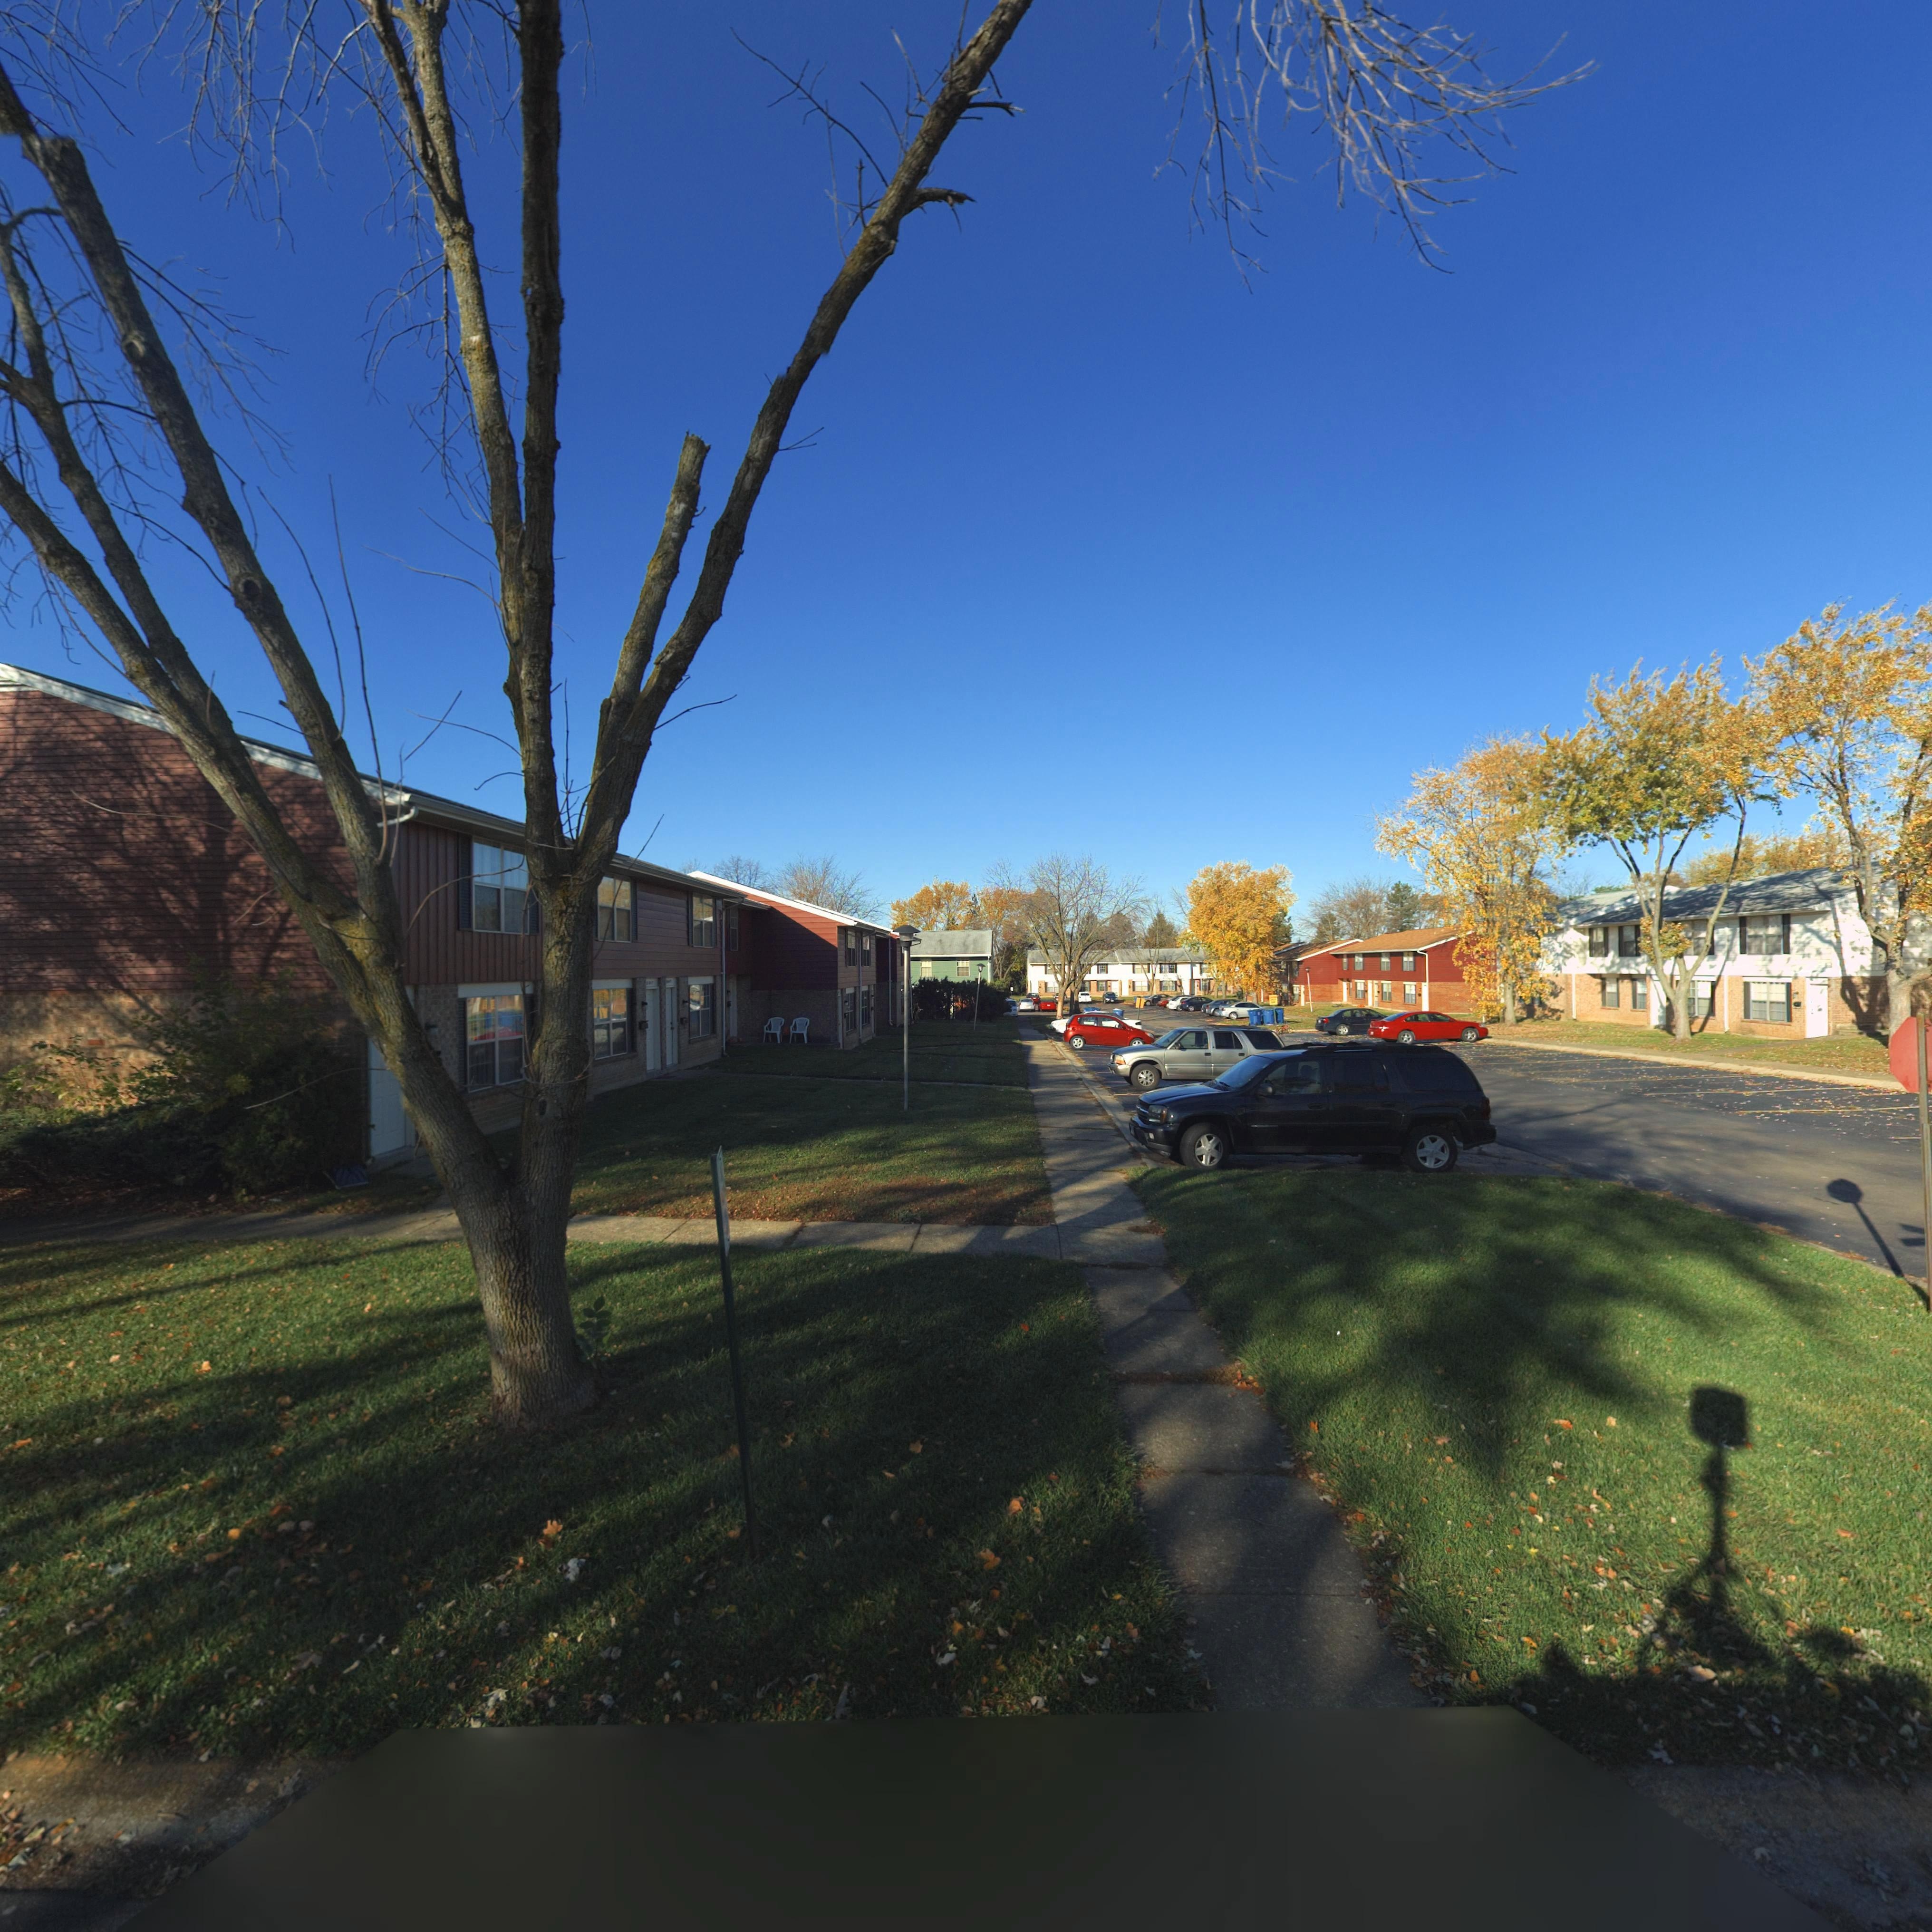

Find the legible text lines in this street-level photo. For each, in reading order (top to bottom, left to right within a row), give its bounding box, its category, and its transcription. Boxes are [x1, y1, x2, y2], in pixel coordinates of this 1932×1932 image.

[651, 981, 654, 985] StreetNumber: 7
[669, 979, 672, 983] StreetNumber: 9